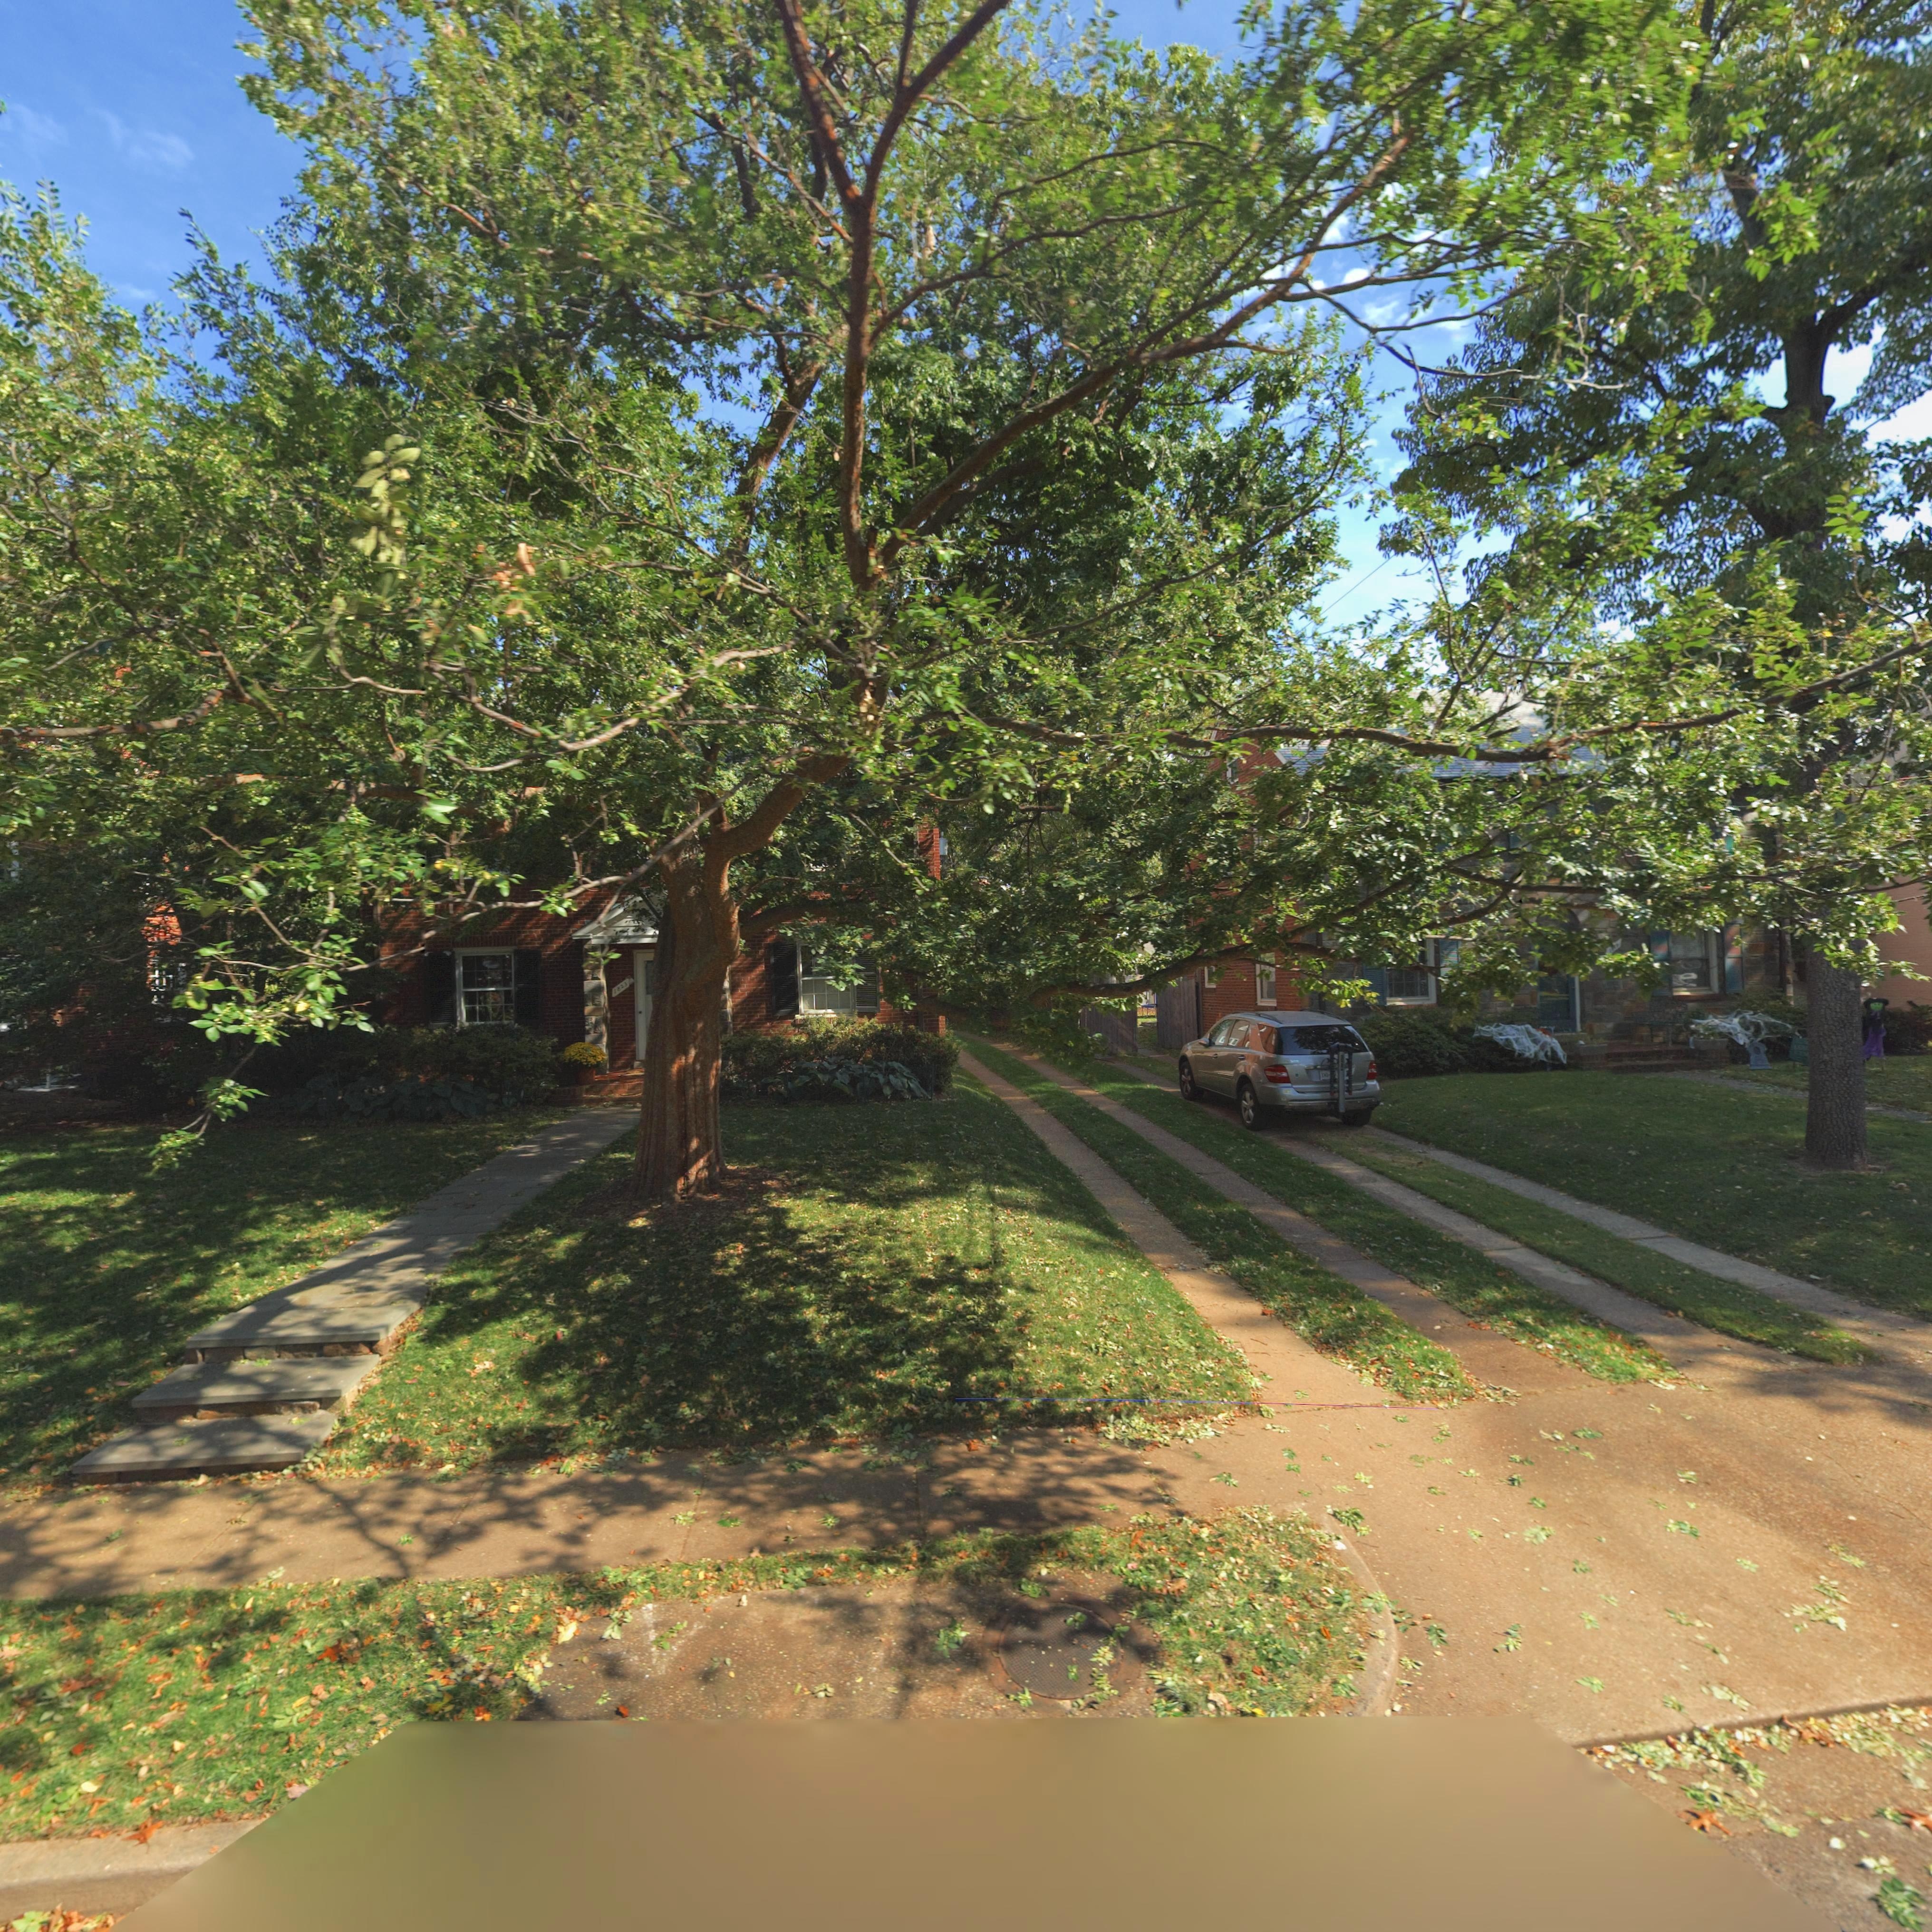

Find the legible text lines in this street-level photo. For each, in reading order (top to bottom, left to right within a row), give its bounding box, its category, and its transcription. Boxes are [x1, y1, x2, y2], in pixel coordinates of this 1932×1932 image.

[612, 979, 628, 996] StreetNumber: 1823